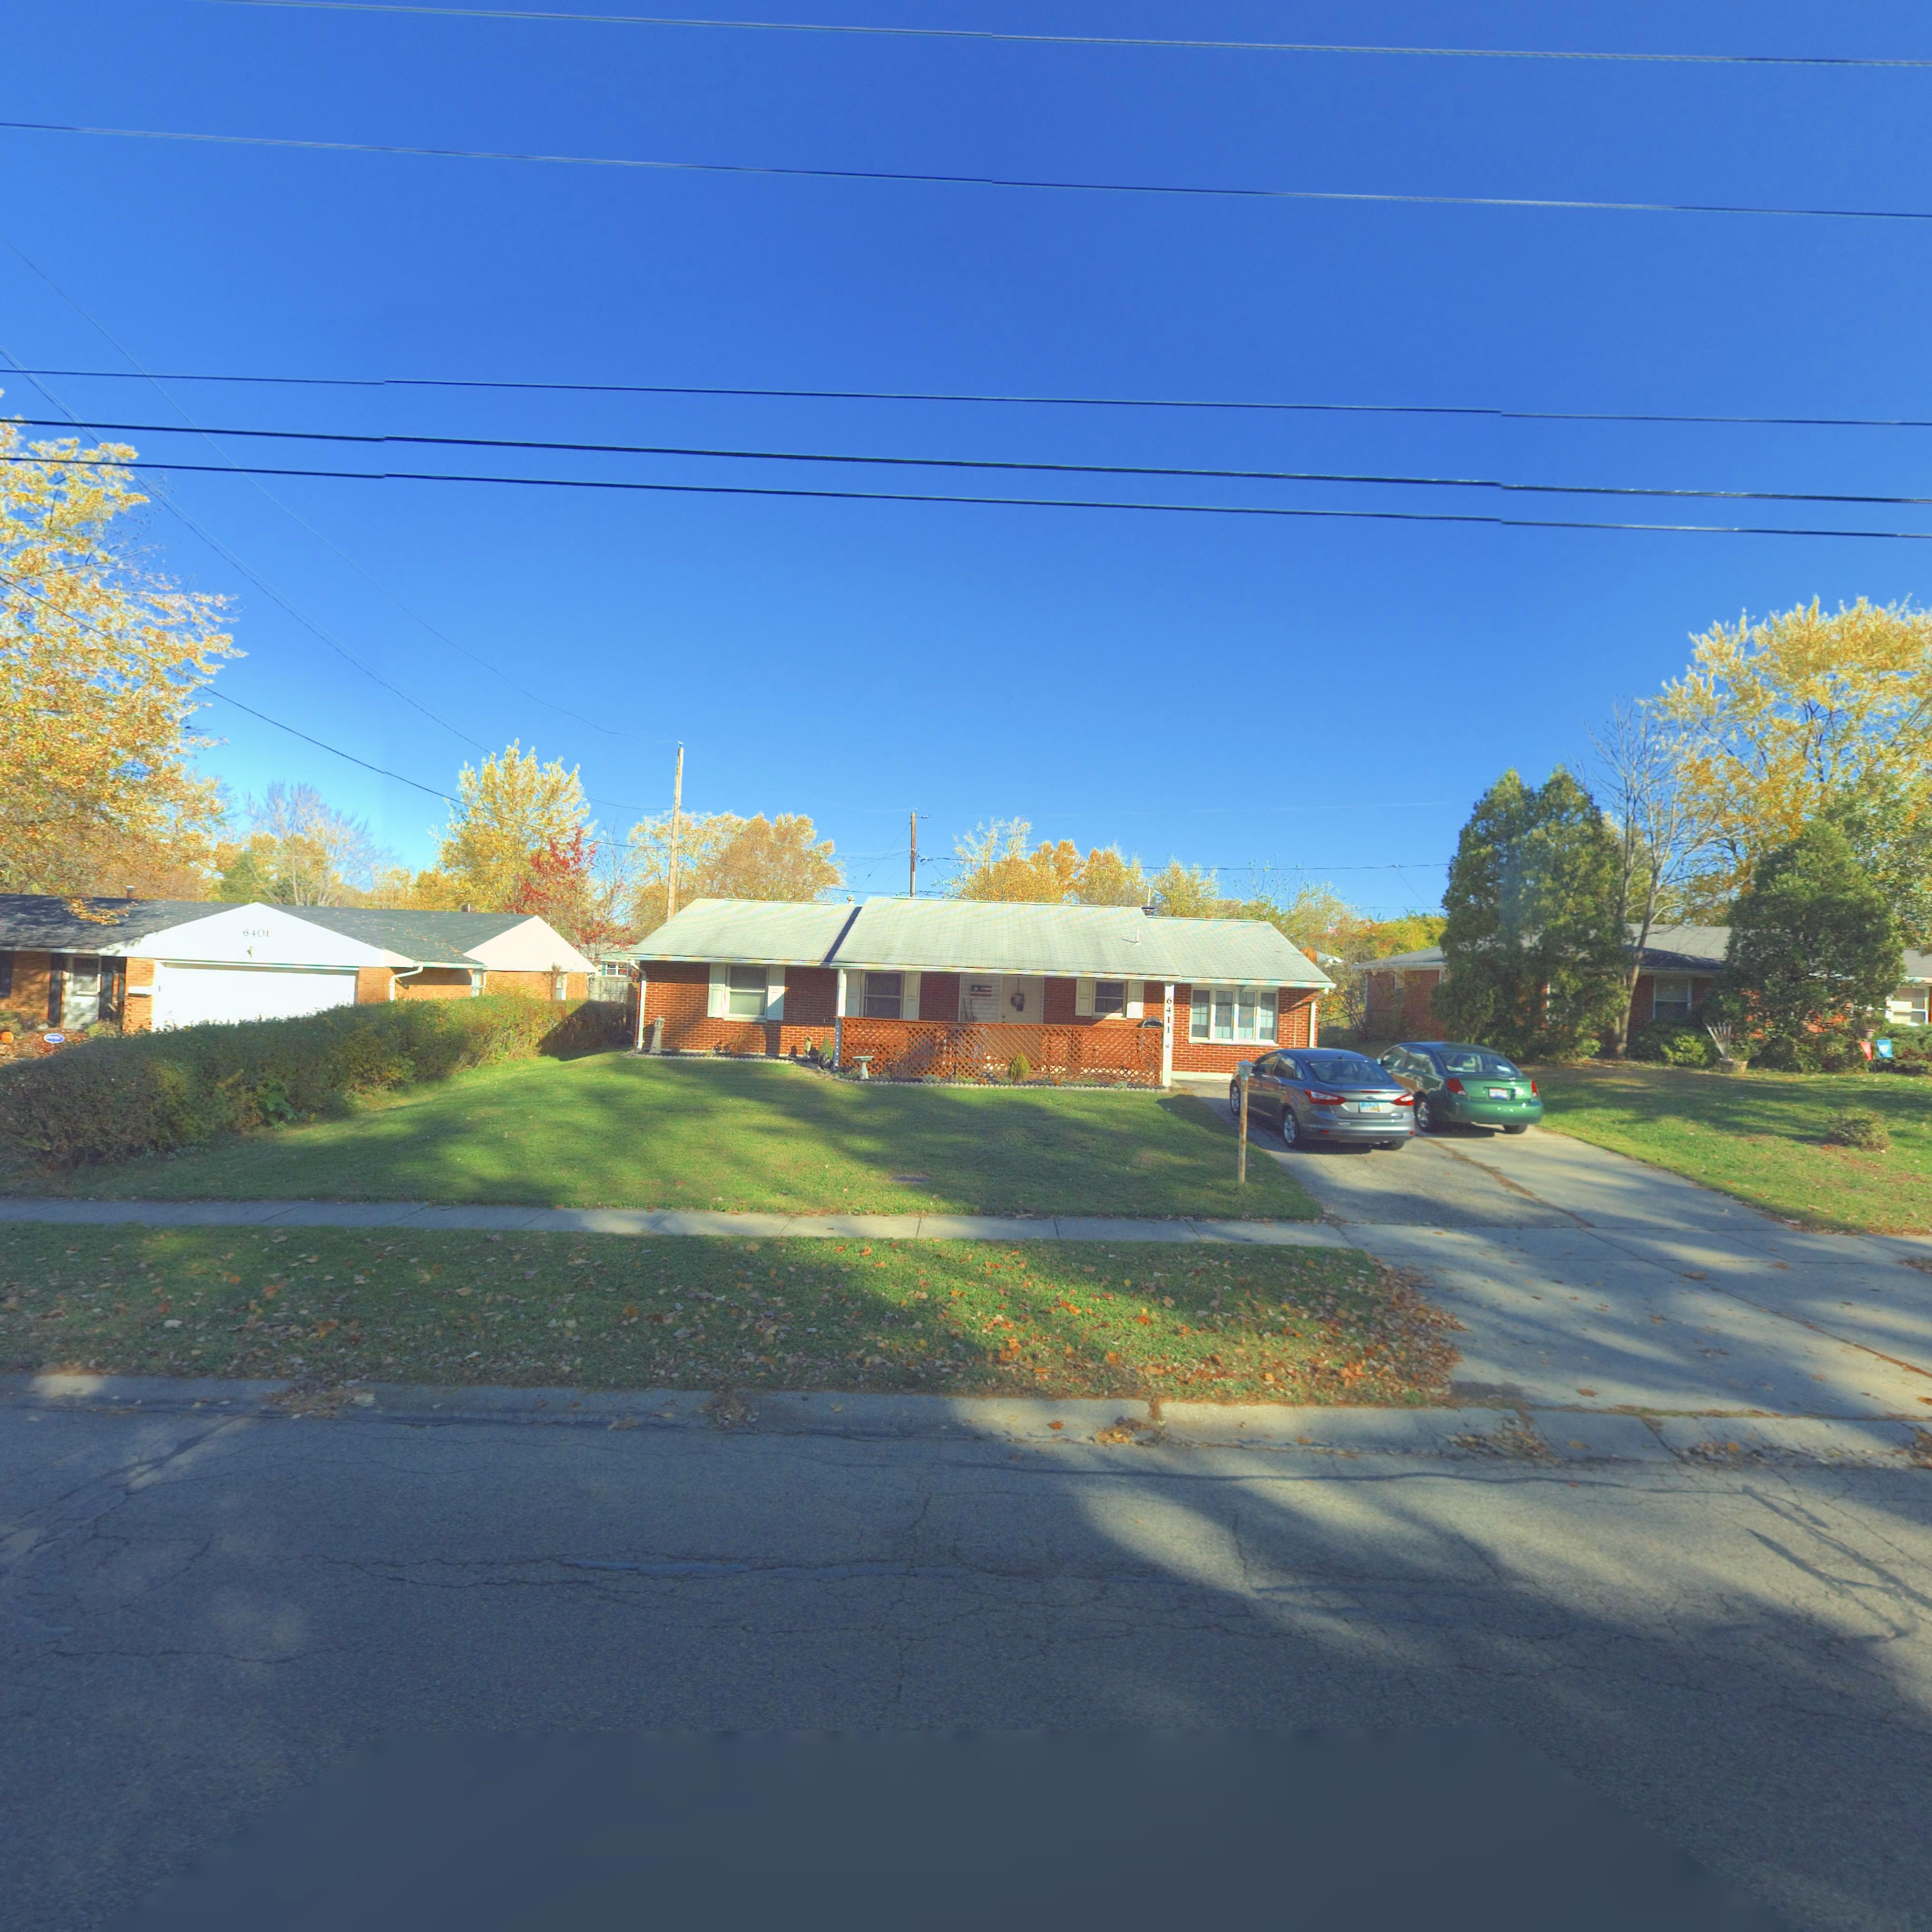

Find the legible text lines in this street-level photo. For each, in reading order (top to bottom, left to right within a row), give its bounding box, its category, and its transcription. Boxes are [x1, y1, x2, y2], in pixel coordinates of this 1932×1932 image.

[241, 927, 270, 939] StreetNumber: 6401
[1165, 995, 1173, 1034] StreetNumber: 6411